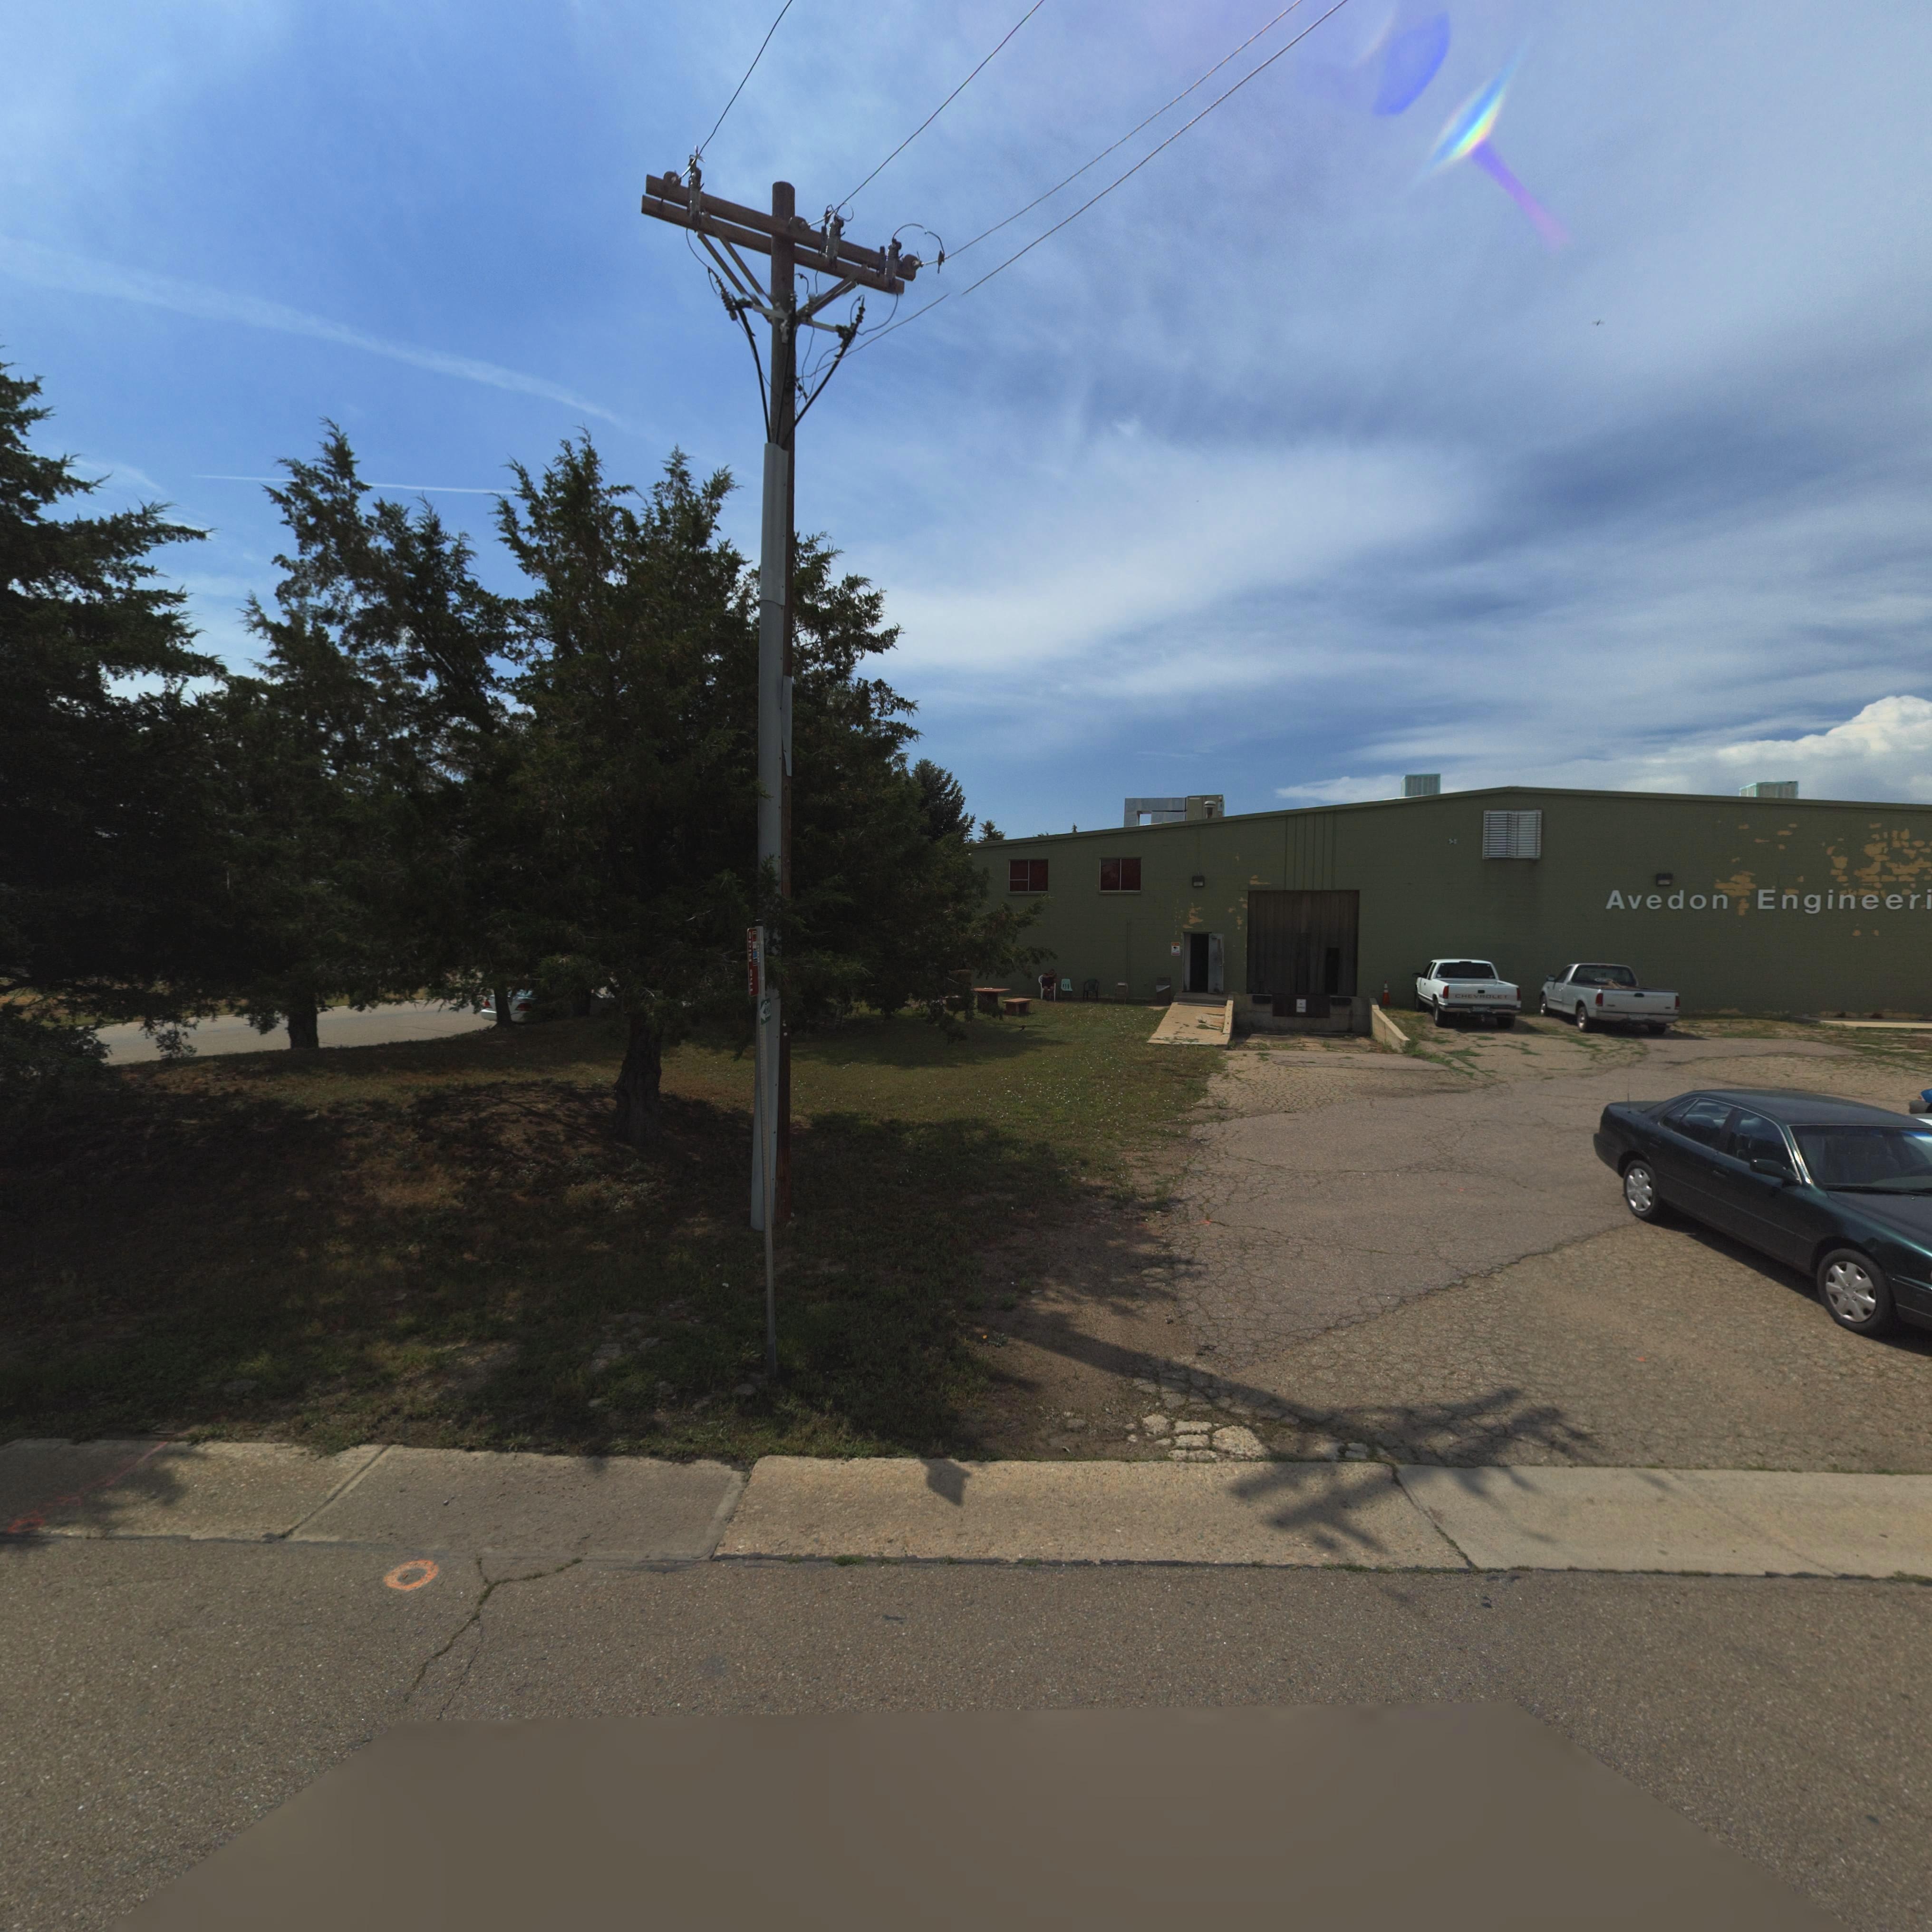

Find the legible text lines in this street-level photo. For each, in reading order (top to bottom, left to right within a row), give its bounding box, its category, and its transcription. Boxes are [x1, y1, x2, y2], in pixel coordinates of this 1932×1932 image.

[1602, 886, 1922, 916] BusinessName: Avedon Engineer